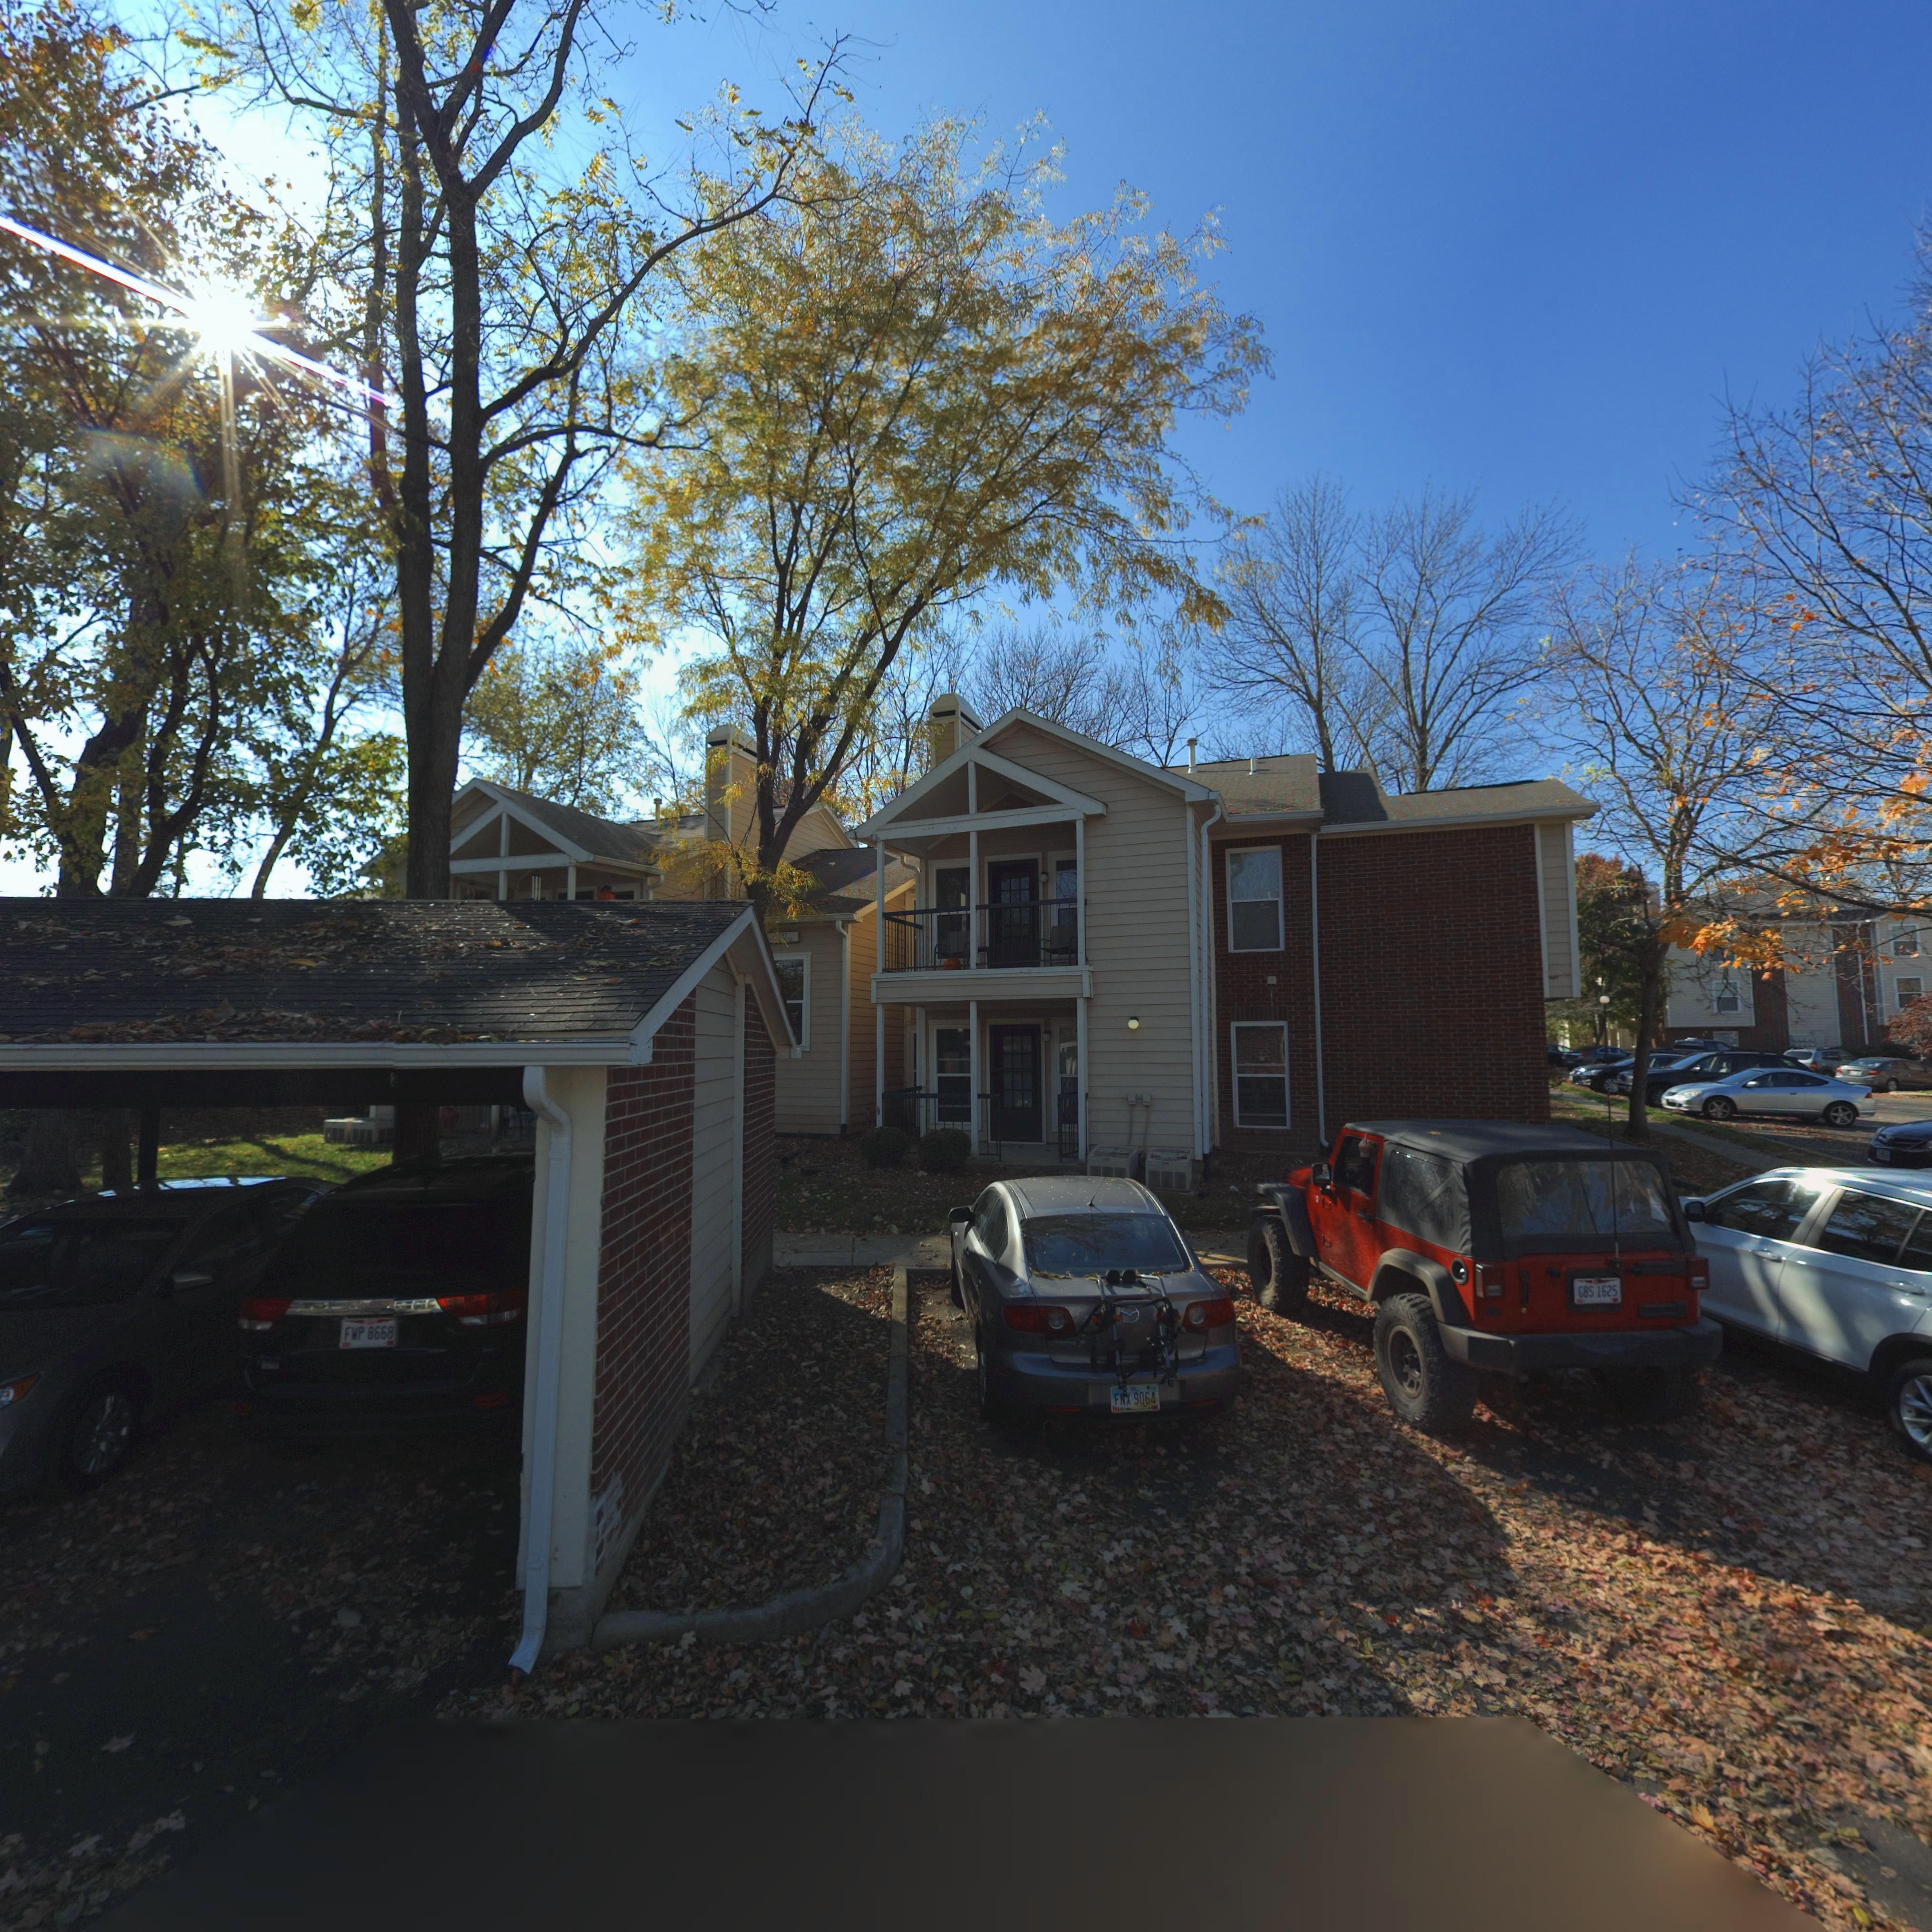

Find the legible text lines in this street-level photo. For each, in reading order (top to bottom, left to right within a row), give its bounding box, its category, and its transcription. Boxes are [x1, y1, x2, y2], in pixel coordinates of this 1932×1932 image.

[1577, 1284, 1619, 1299] None: GBS 1625
[342, 1324, 395, 1342] None: FMP 8668
[1114, 1391, 1157, 1407] None: F** 9064